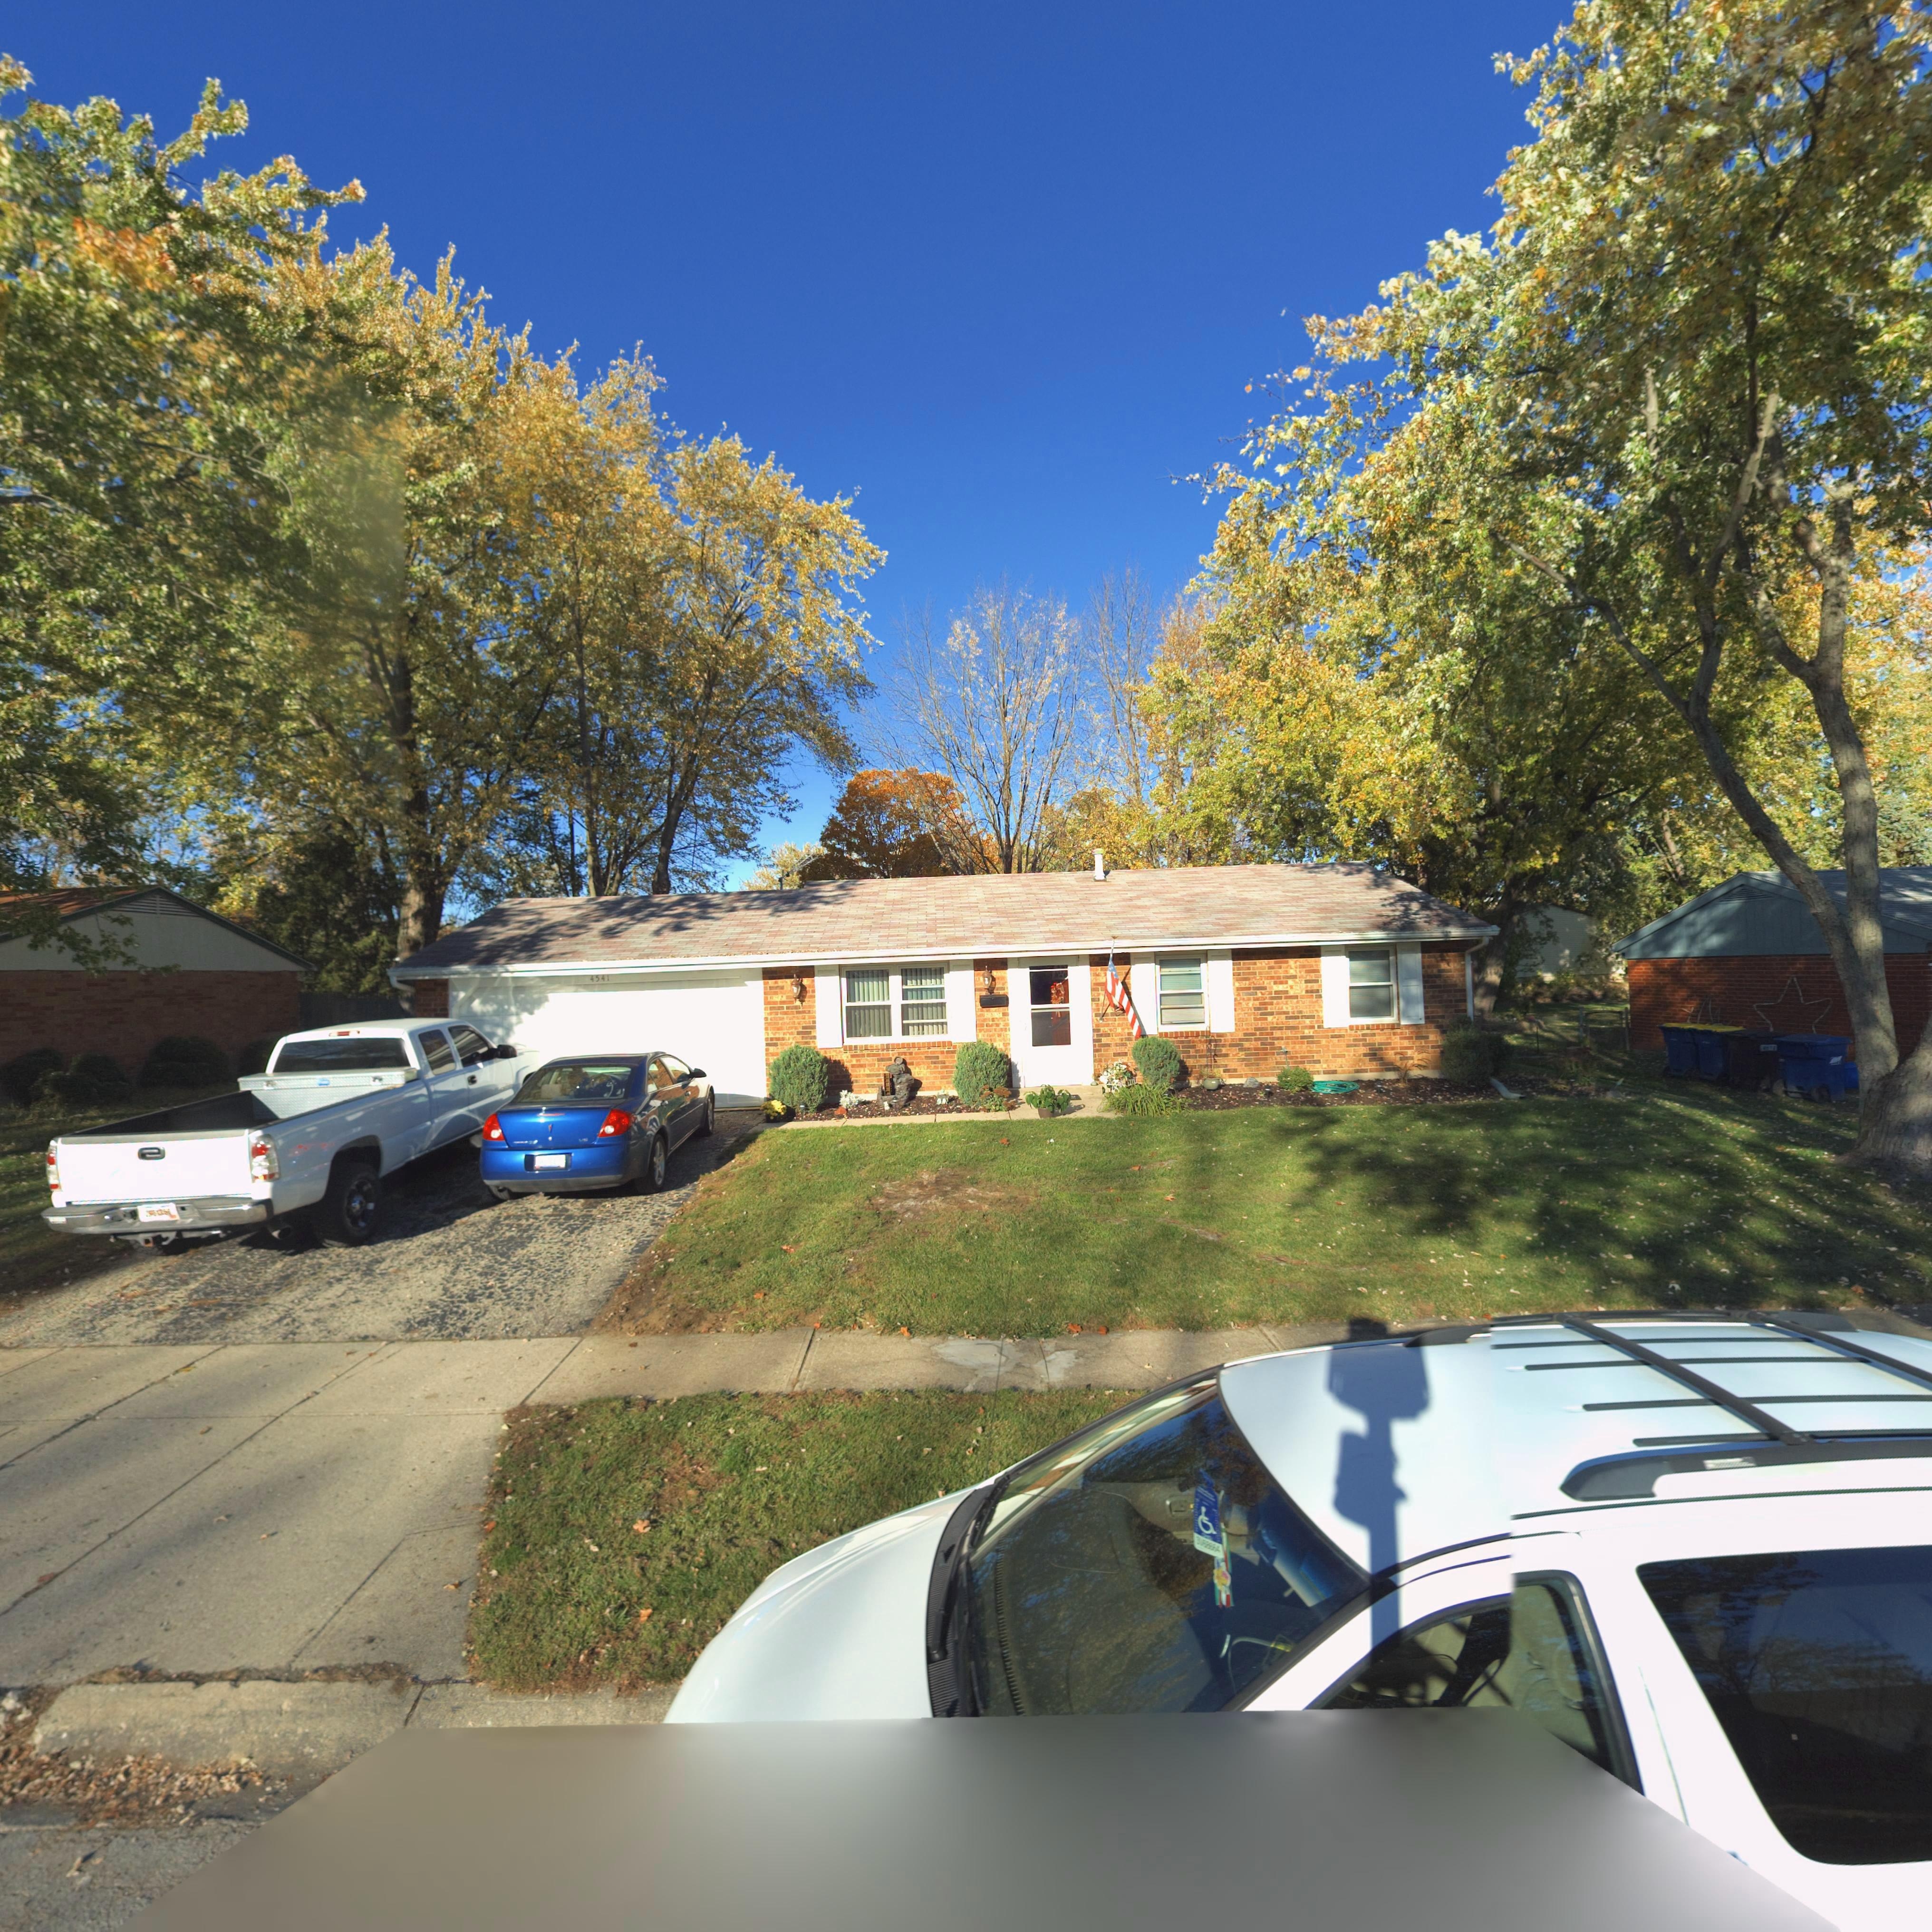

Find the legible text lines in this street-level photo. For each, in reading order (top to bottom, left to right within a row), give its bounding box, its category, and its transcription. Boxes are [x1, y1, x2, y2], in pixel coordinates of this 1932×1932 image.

[589, 974, 610, 983] StreetNumber: 4541